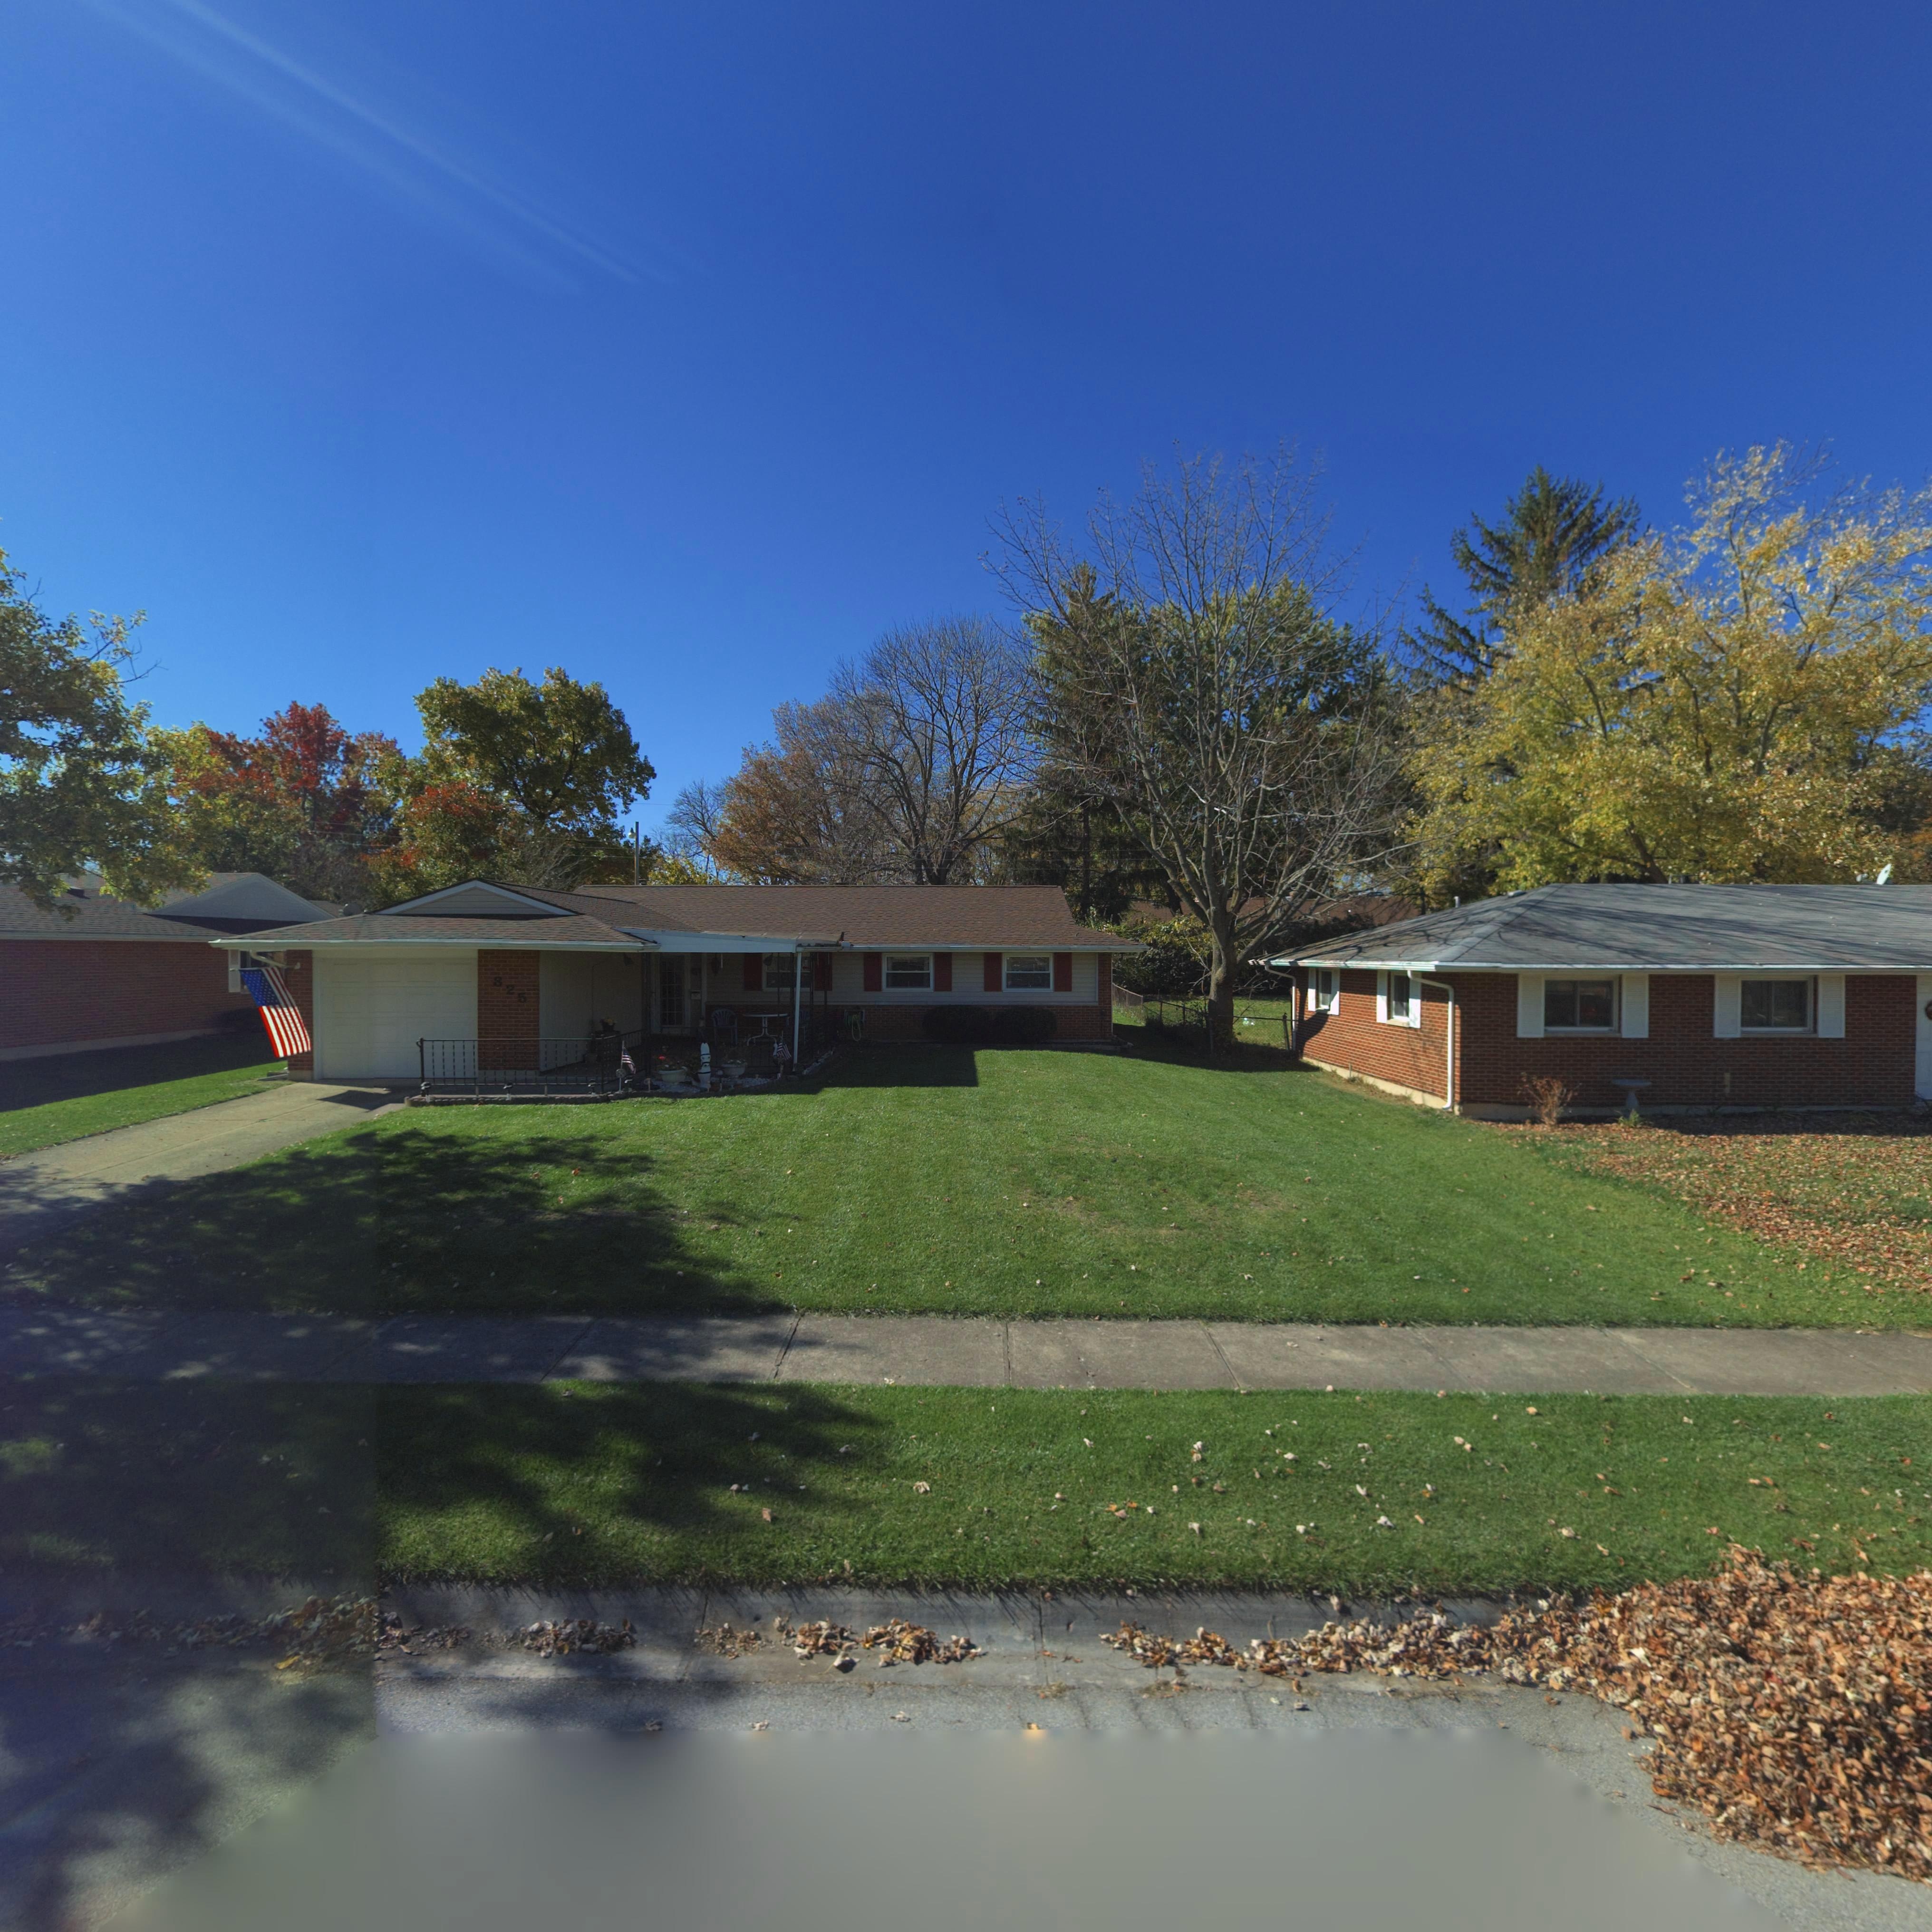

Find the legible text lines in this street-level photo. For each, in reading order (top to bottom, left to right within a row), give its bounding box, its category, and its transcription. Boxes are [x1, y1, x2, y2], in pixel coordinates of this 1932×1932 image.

[492, 975, 527, 1005] StreetNumber: 325